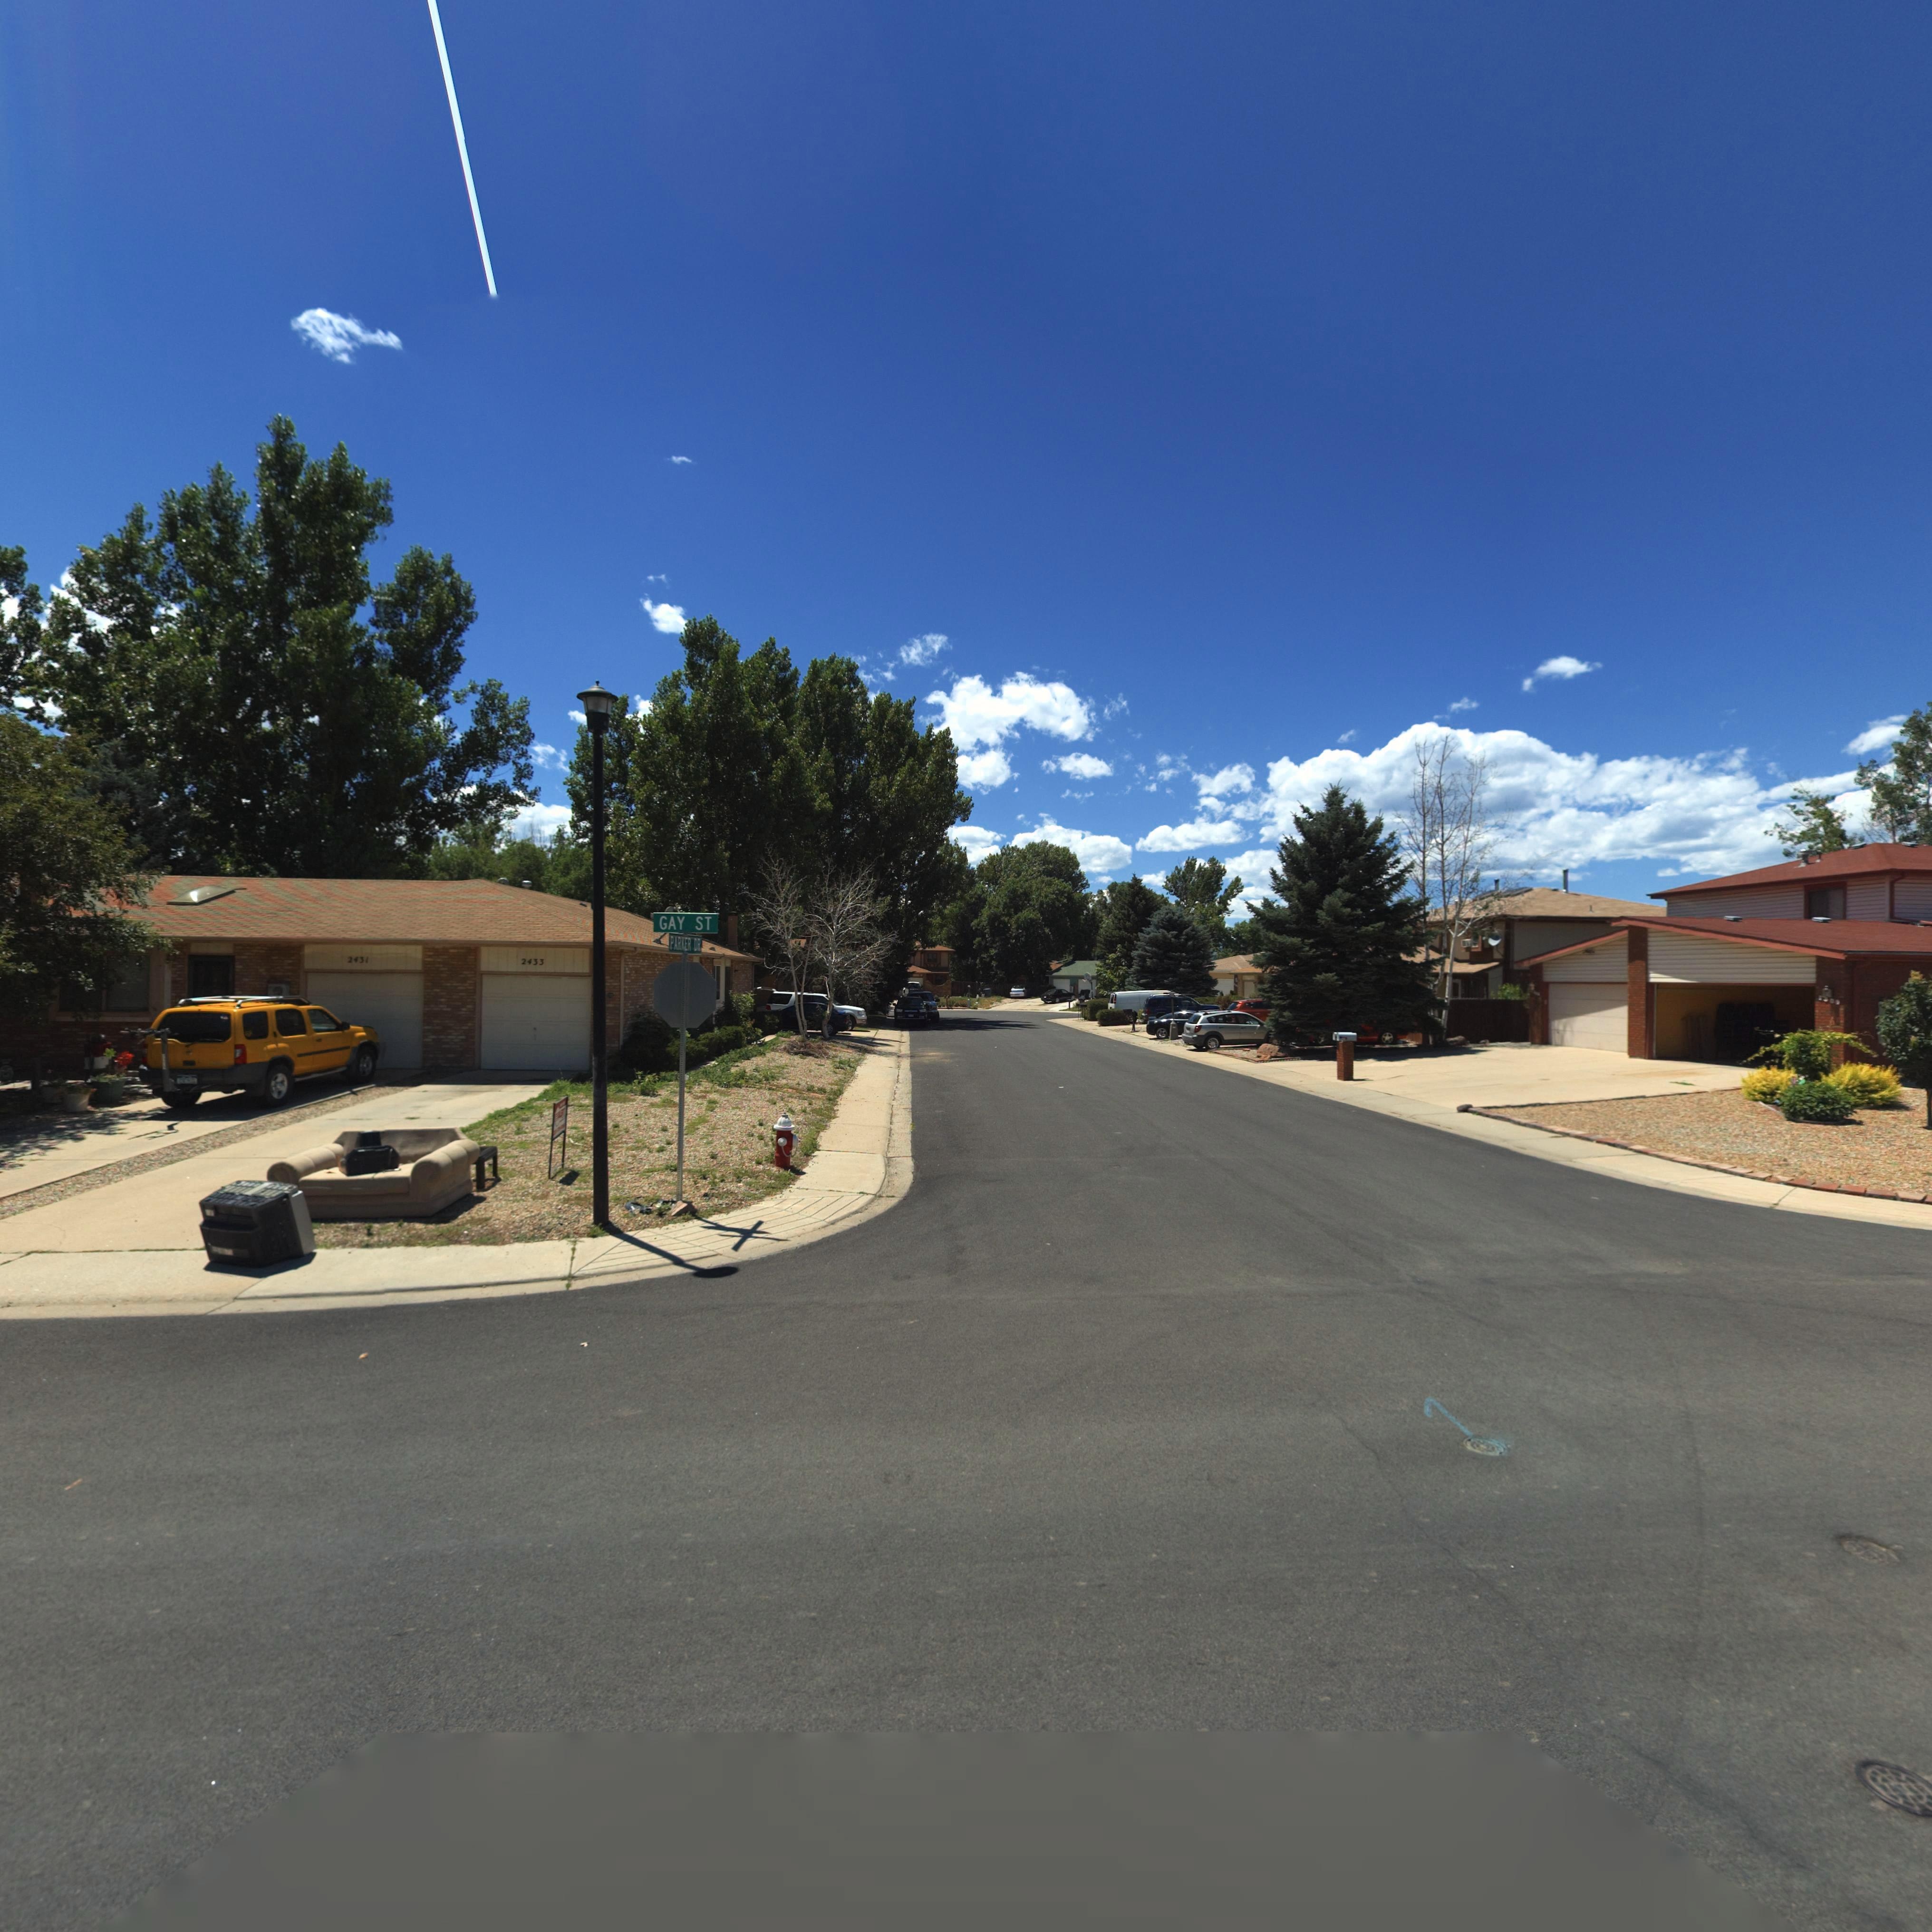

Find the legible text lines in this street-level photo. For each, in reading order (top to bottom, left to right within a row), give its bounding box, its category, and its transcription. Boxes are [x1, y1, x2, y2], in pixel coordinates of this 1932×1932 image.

[658, 915, 713, 931] StreetName: Gay St
[670, 936, 700, 951] StreetName: PARKER DR
[347, 956, 368, 963] StreetNumber: 2431
[521, 958, 544, 965] StreetName: 2433